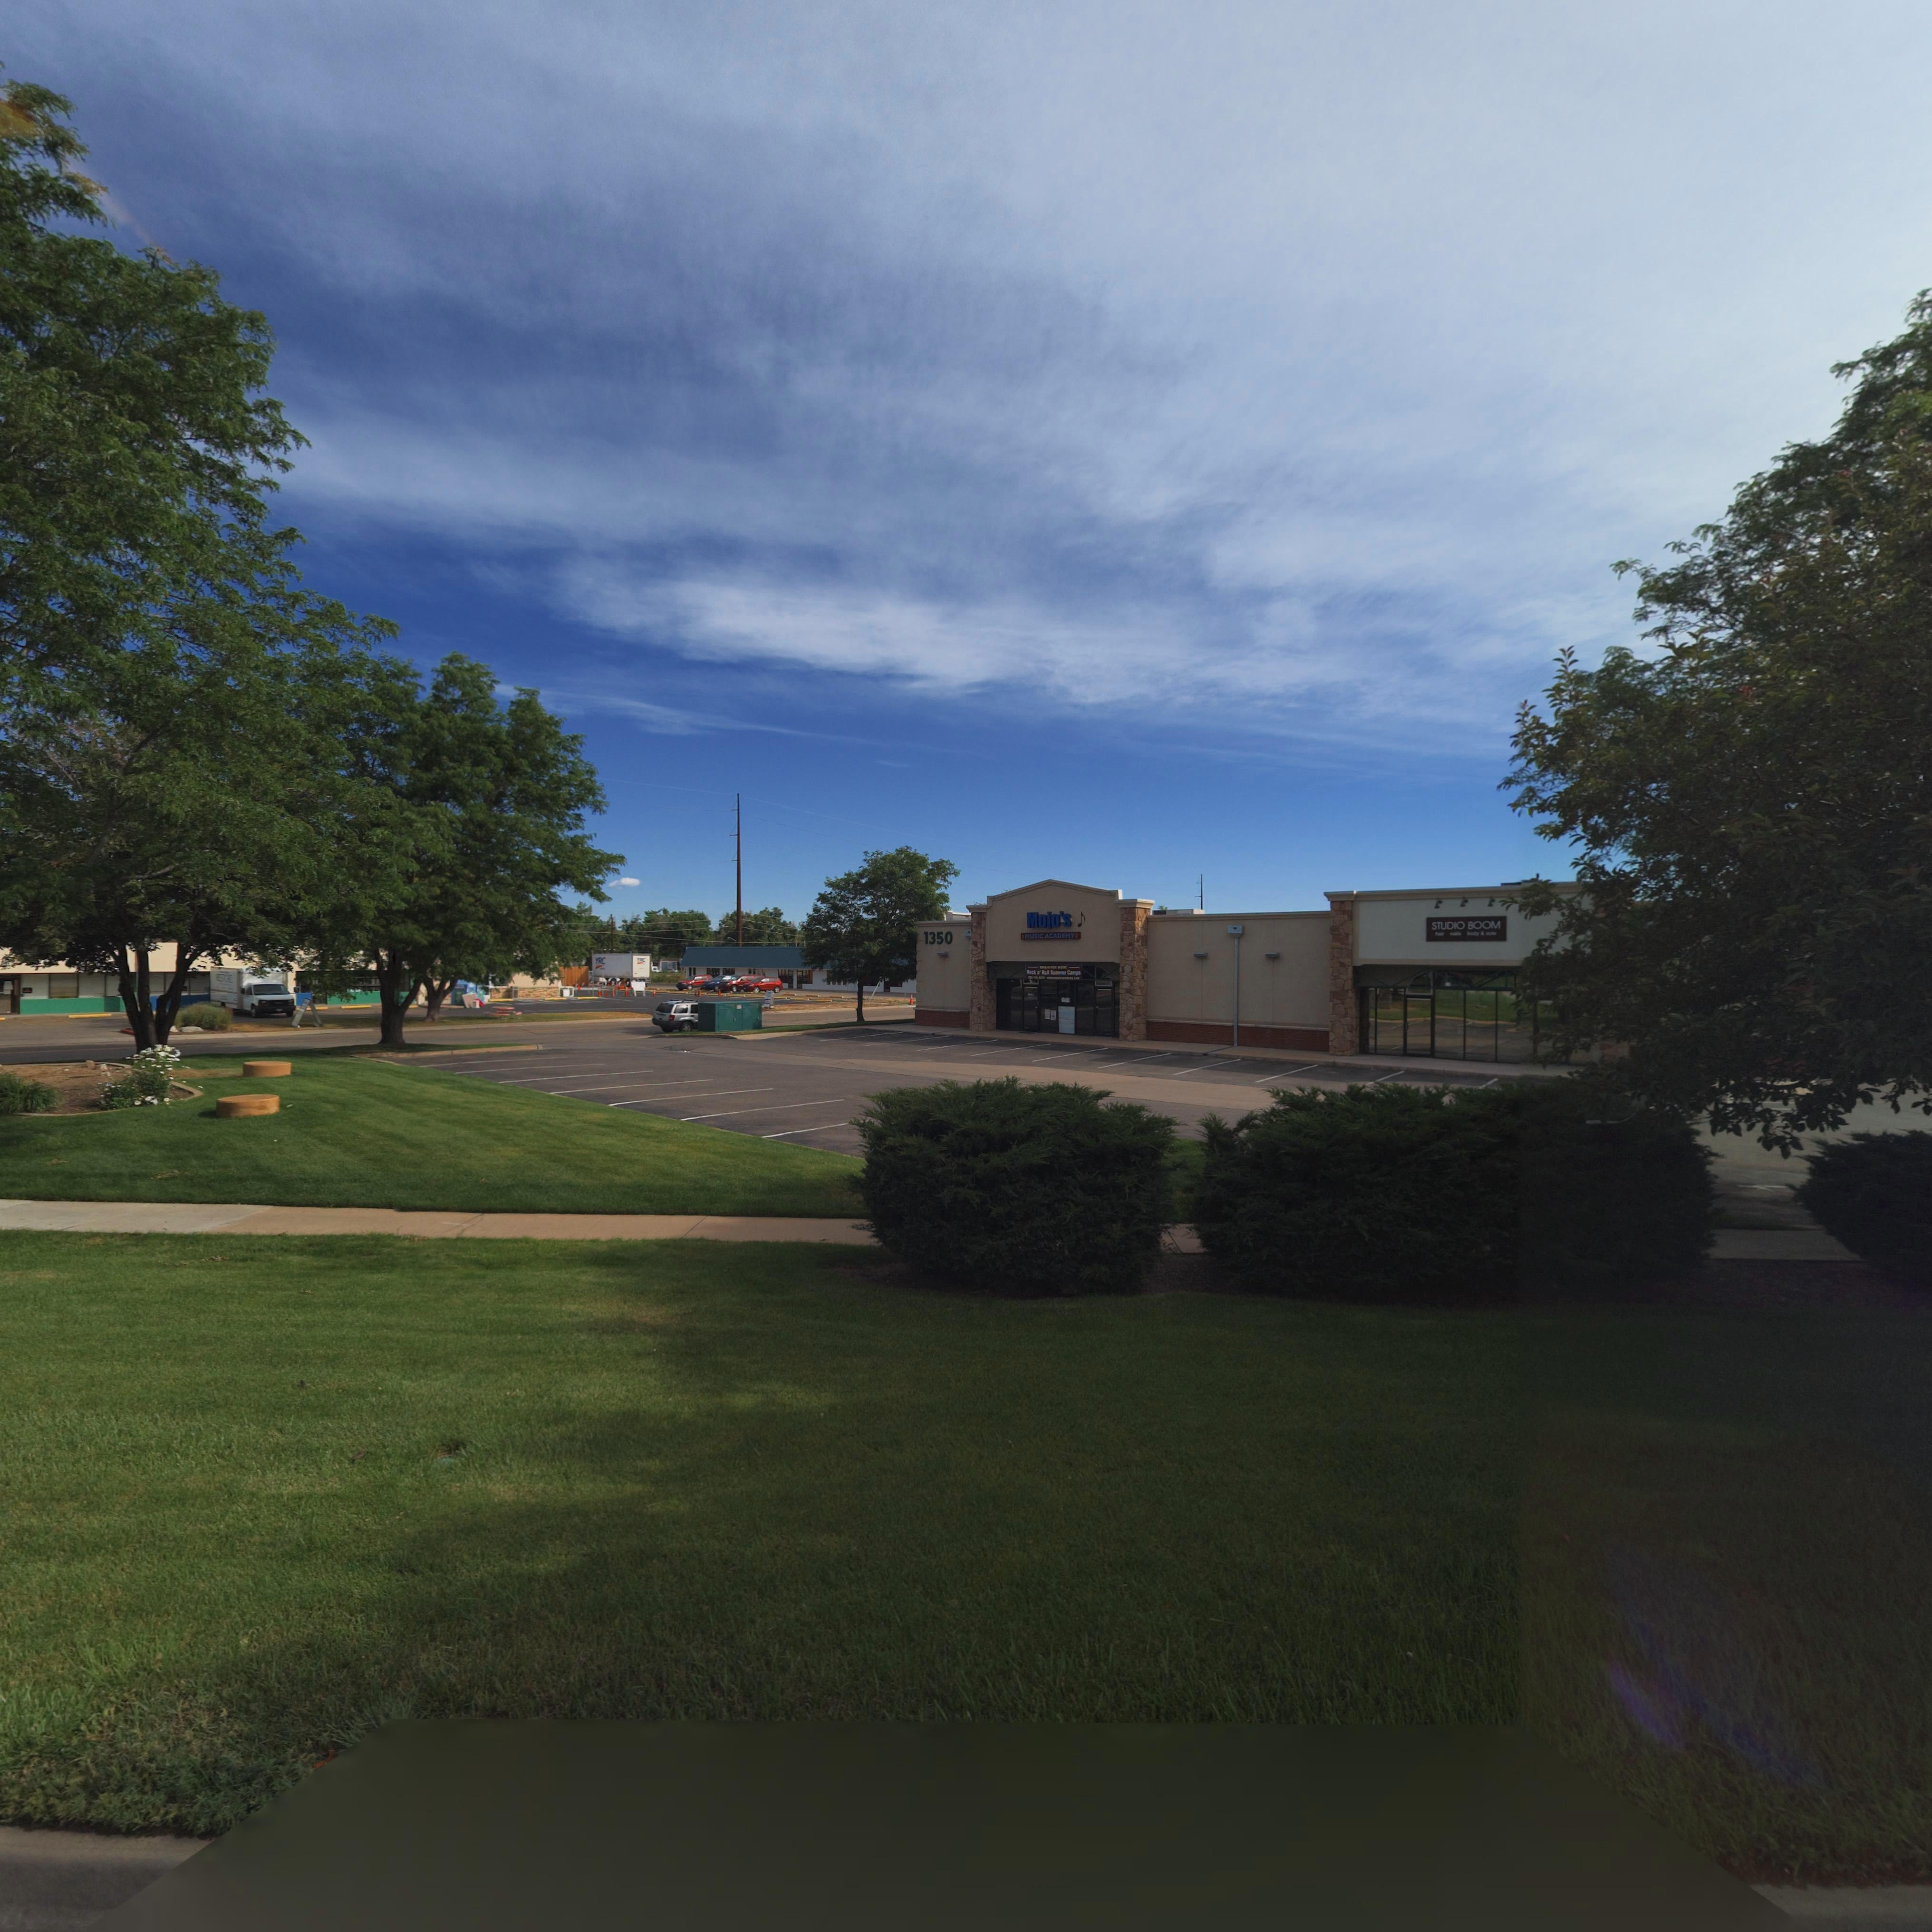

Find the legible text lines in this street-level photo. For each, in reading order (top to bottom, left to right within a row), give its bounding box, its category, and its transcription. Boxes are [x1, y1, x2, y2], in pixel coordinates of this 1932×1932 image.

[1026, 911, 1072, 929] BusinessName: Mojo's
[1431, 920, 1501, 930] BusinessName: STUDIO BOOM
[923, 931, 953, 945] StreetNumber: 1350
[1024, 932, 1075, 939] BusinessName: MUSIC ACADEMY